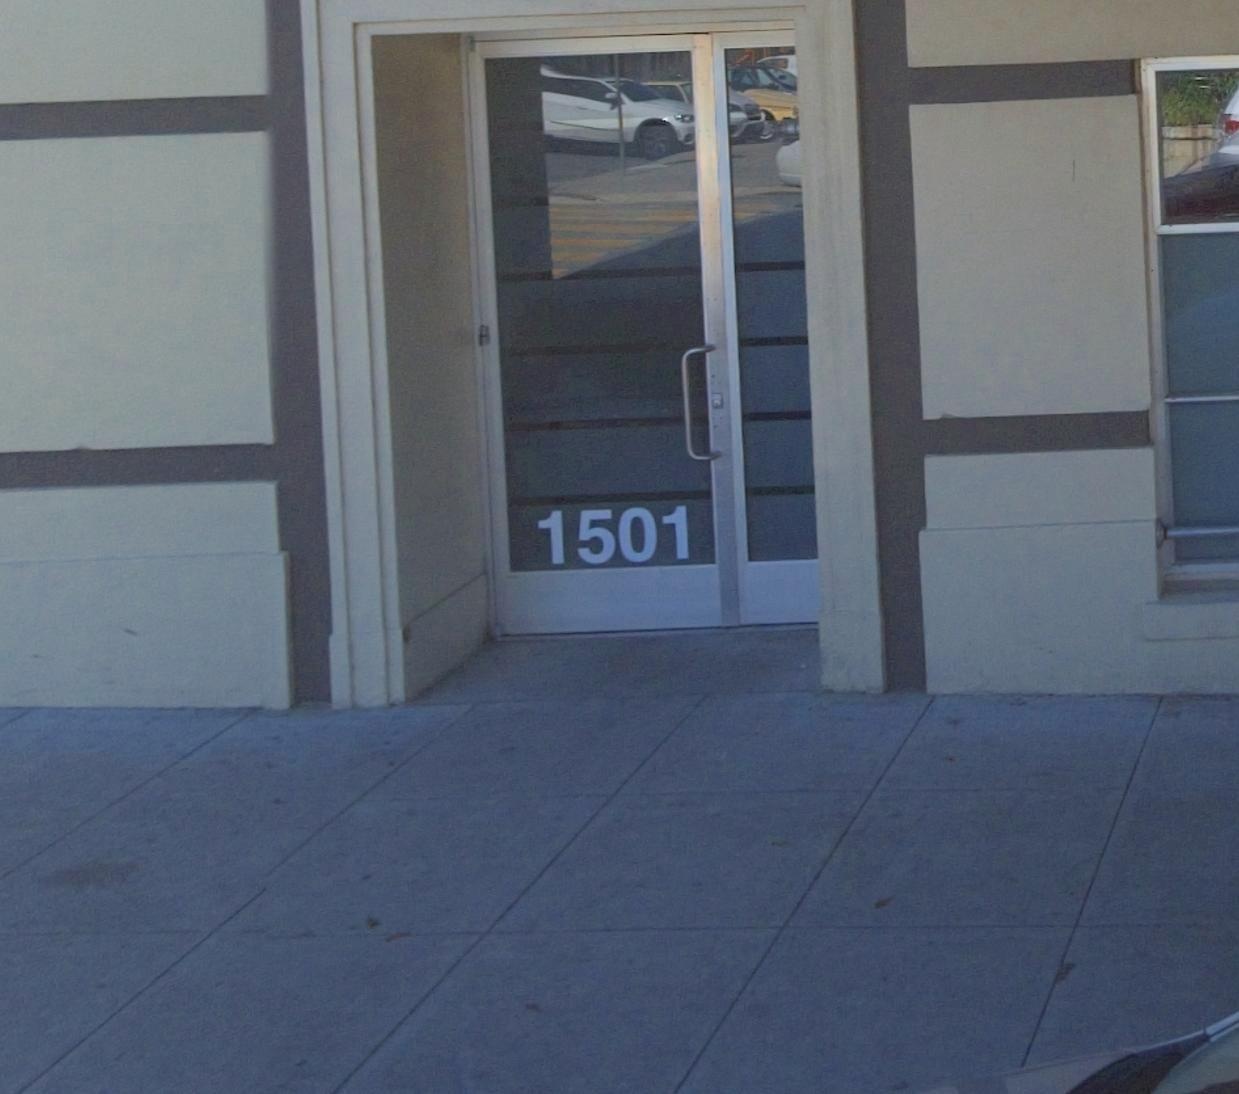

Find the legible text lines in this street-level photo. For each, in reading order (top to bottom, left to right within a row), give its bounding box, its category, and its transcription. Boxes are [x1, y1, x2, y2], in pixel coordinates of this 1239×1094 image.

[531, 502, 692, 566] StreetNumber: 1501